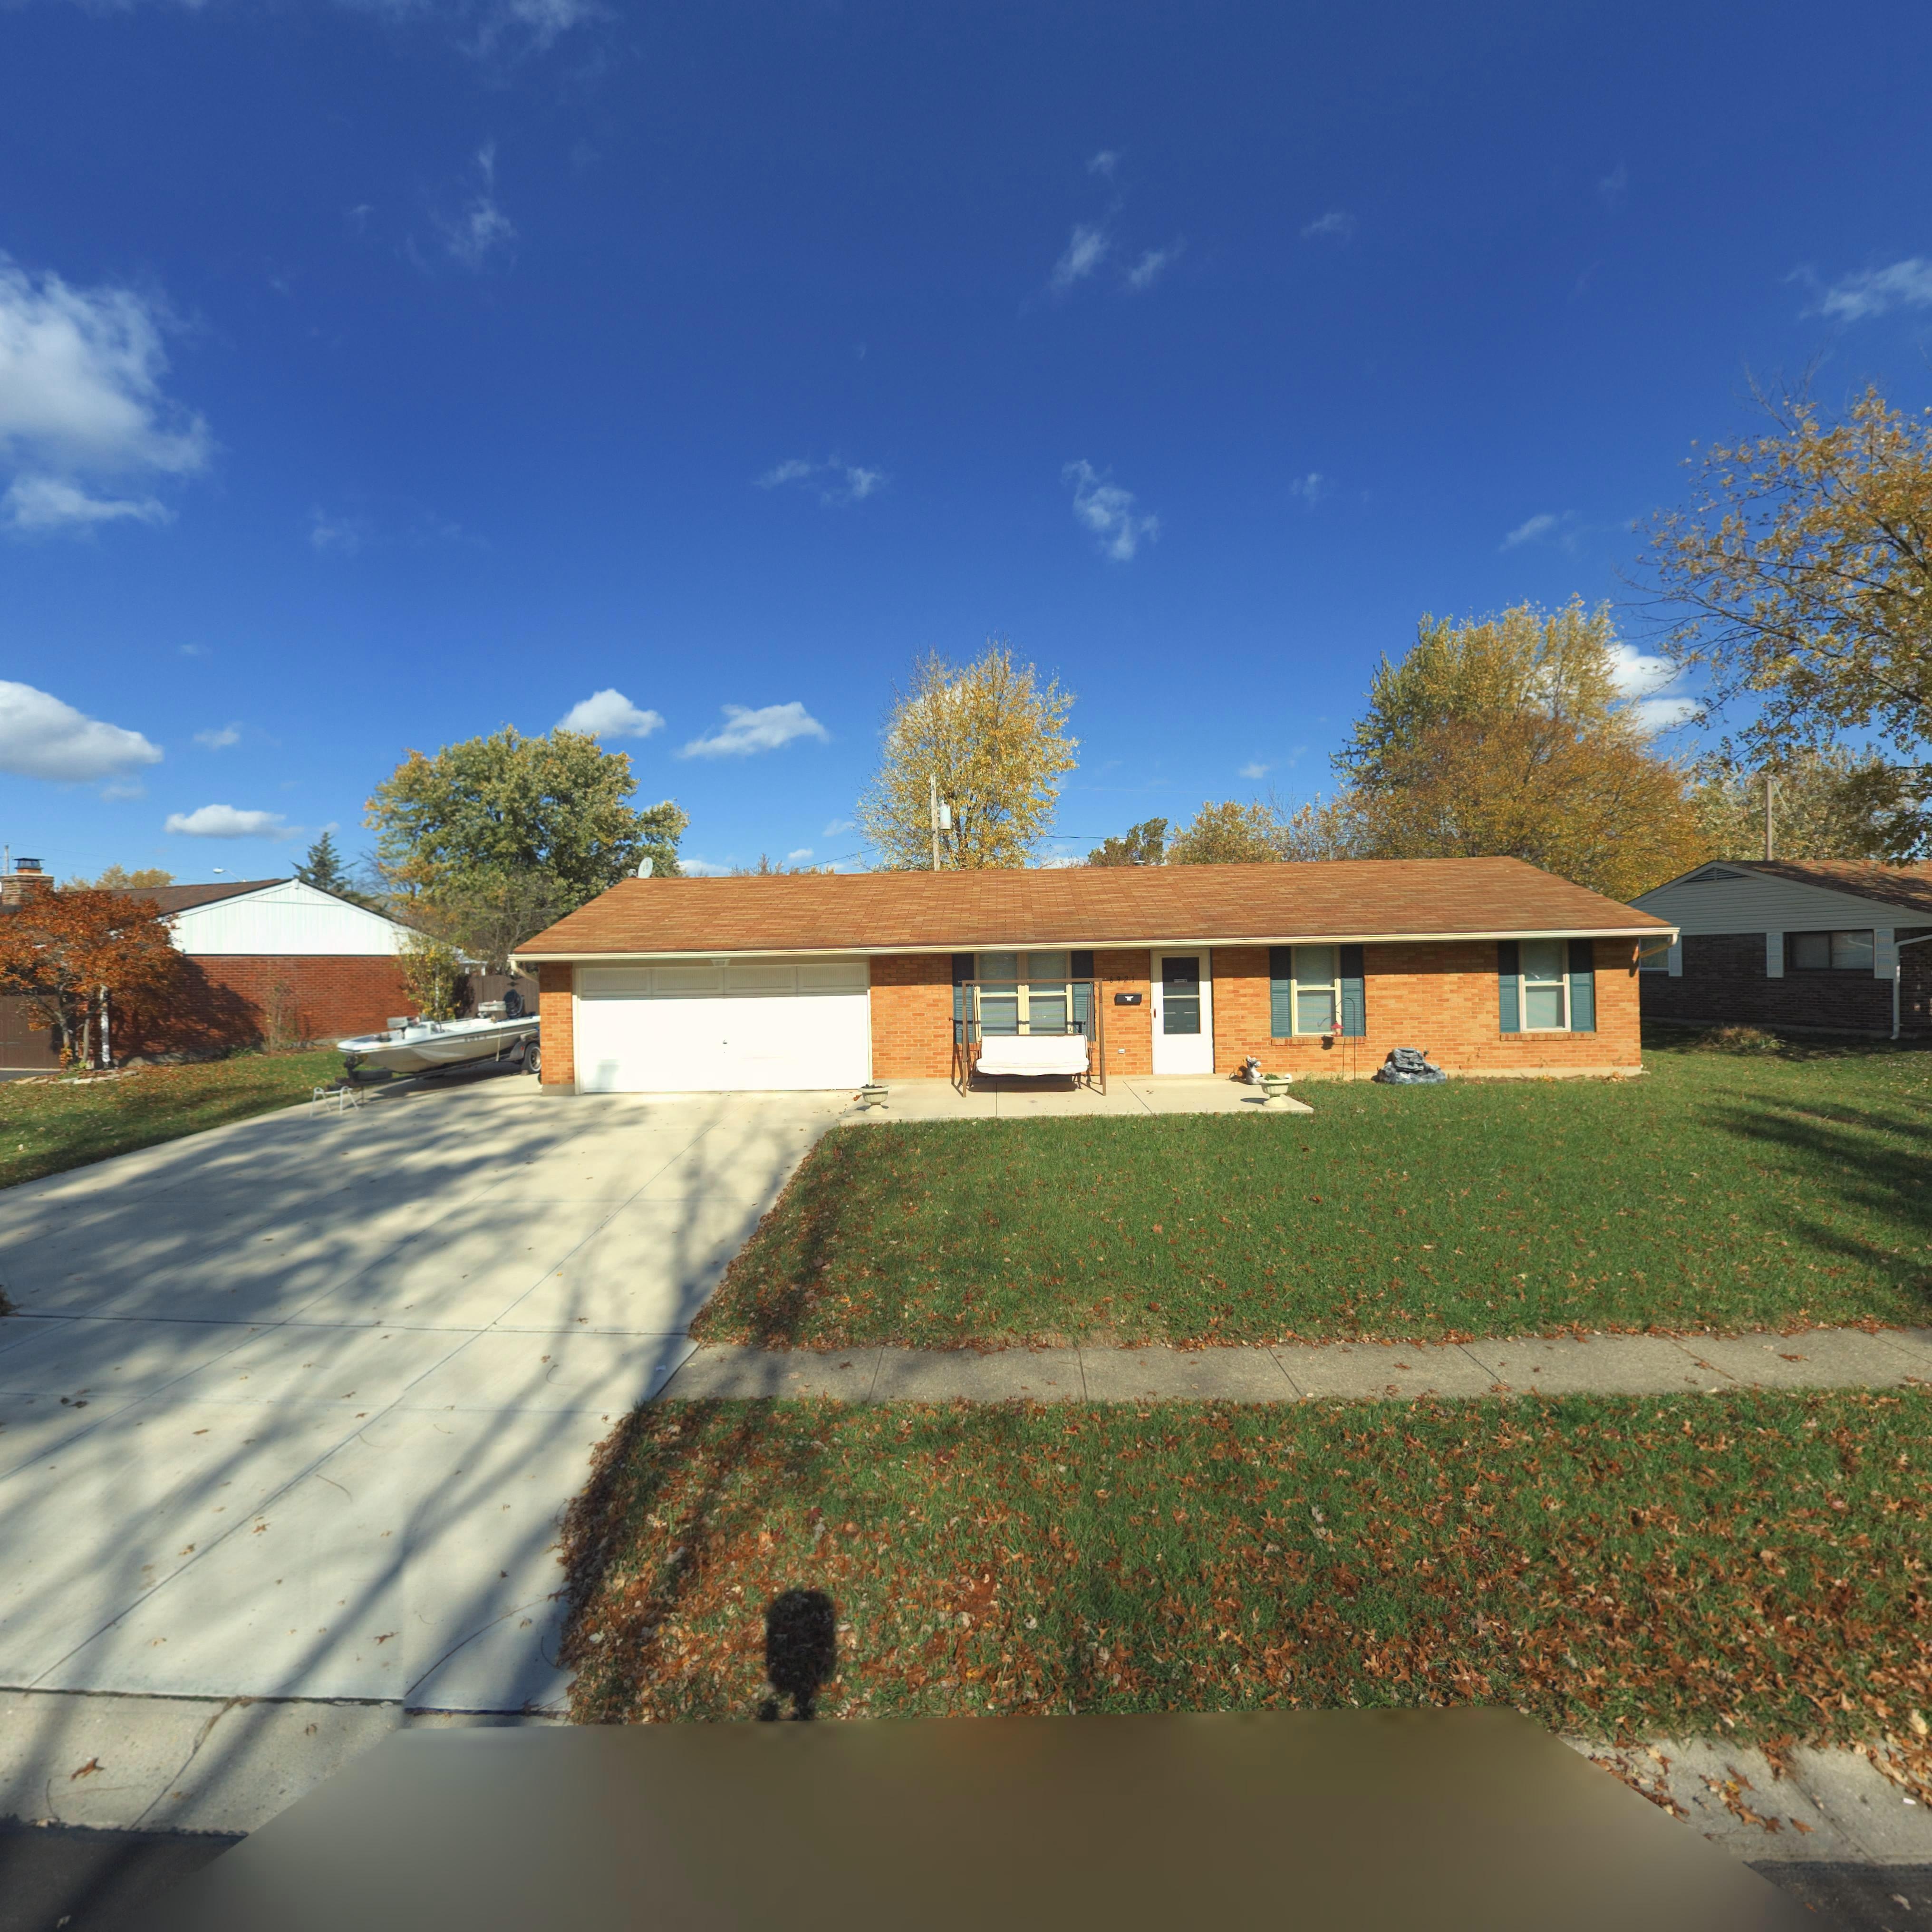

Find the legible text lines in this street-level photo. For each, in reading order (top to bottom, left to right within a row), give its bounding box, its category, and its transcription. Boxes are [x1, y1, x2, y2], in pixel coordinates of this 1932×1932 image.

[1108, 975, 1135, 985] StreetNumber: 6921